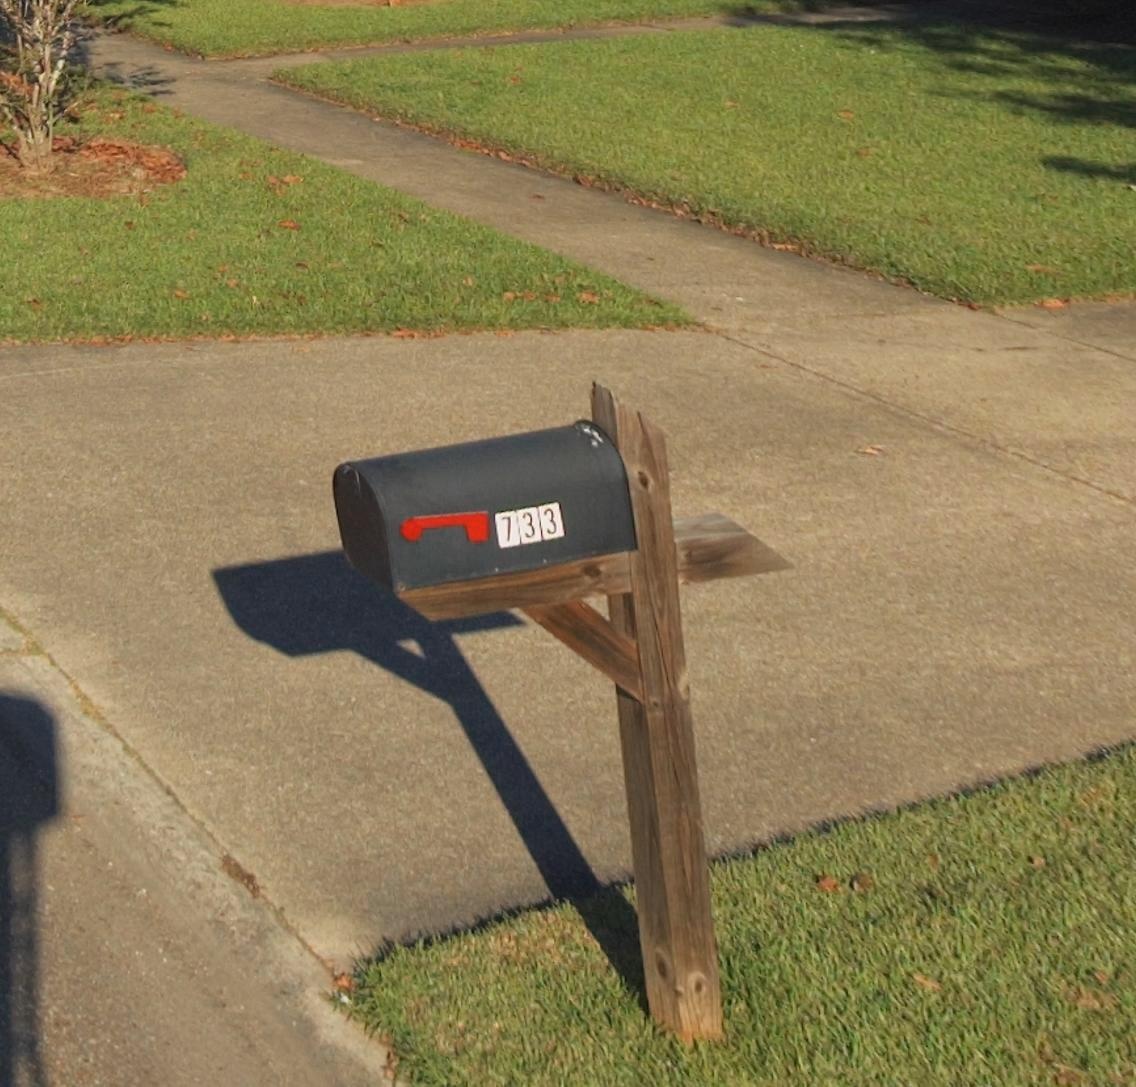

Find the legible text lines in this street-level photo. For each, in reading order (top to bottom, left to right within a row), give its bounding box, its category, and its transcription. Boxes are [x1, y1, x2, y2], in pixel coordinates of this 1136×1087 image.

[499, 507, 560, 544] StreetNumber: 733